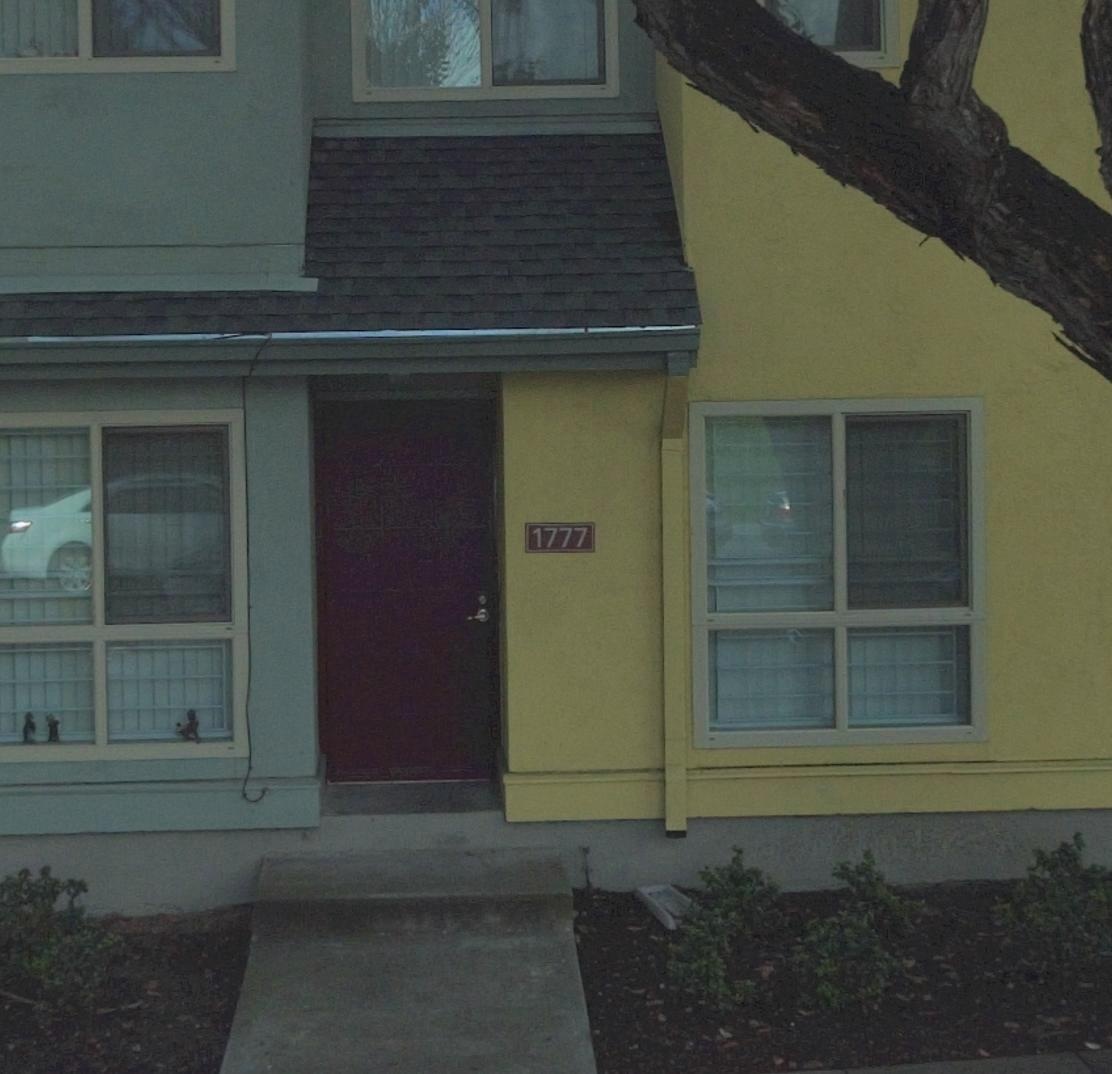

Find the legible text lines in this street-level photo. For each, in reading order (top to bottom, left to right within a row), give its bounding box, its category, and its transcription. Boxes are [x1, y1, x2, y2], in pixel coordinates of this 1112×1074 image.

[529, 525, 592, 550] StreetNumber: 1777